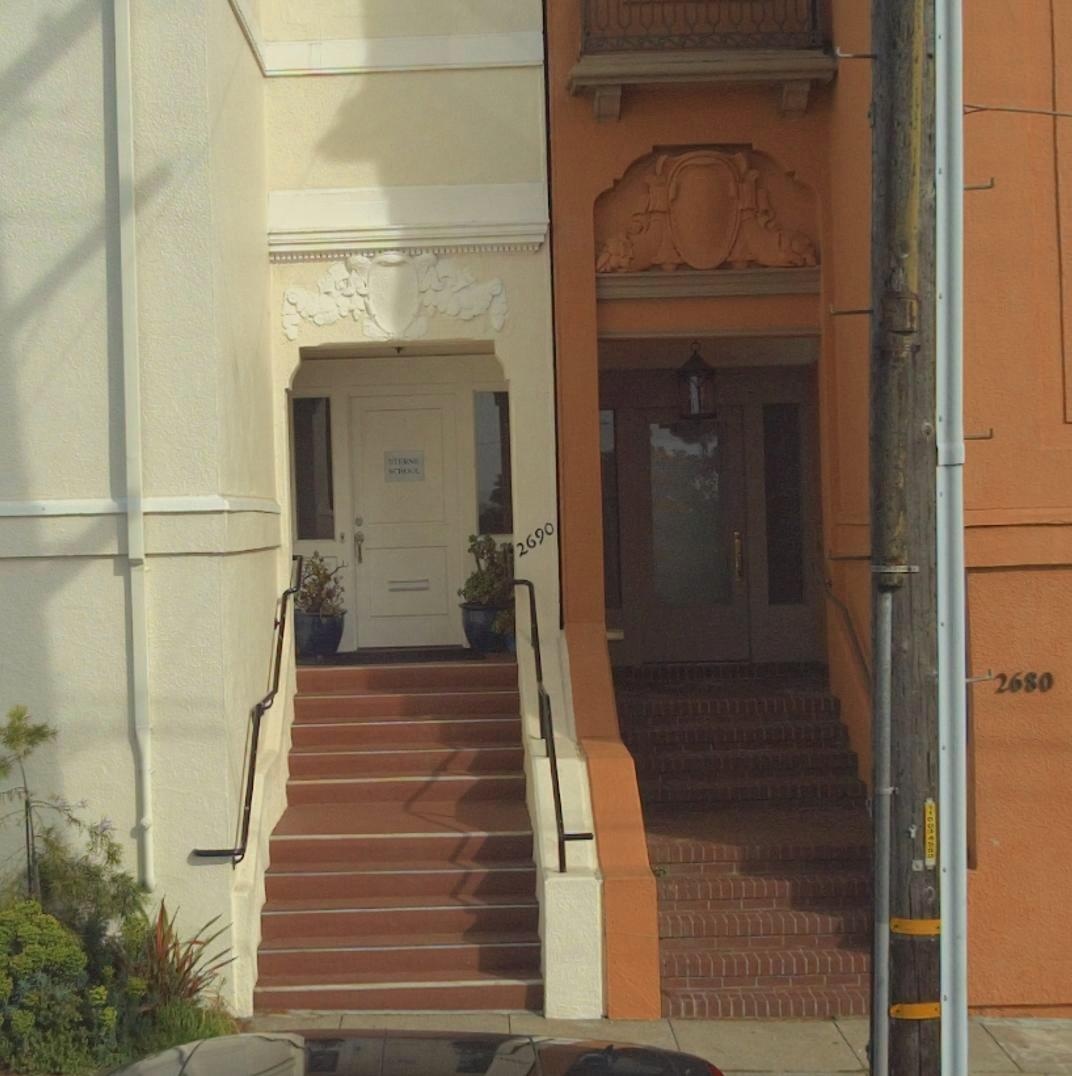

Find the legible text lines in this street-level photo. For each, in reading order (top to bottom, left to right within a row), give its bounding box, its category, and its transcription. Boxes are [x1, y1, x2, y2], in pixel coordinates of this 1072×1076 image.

[386, 466, 423, 476] None: SCHOOL
[512, 516, 559, 562] StreetNumber: 2690
[990, 669, 1058, 697] StreetNumber: 2680